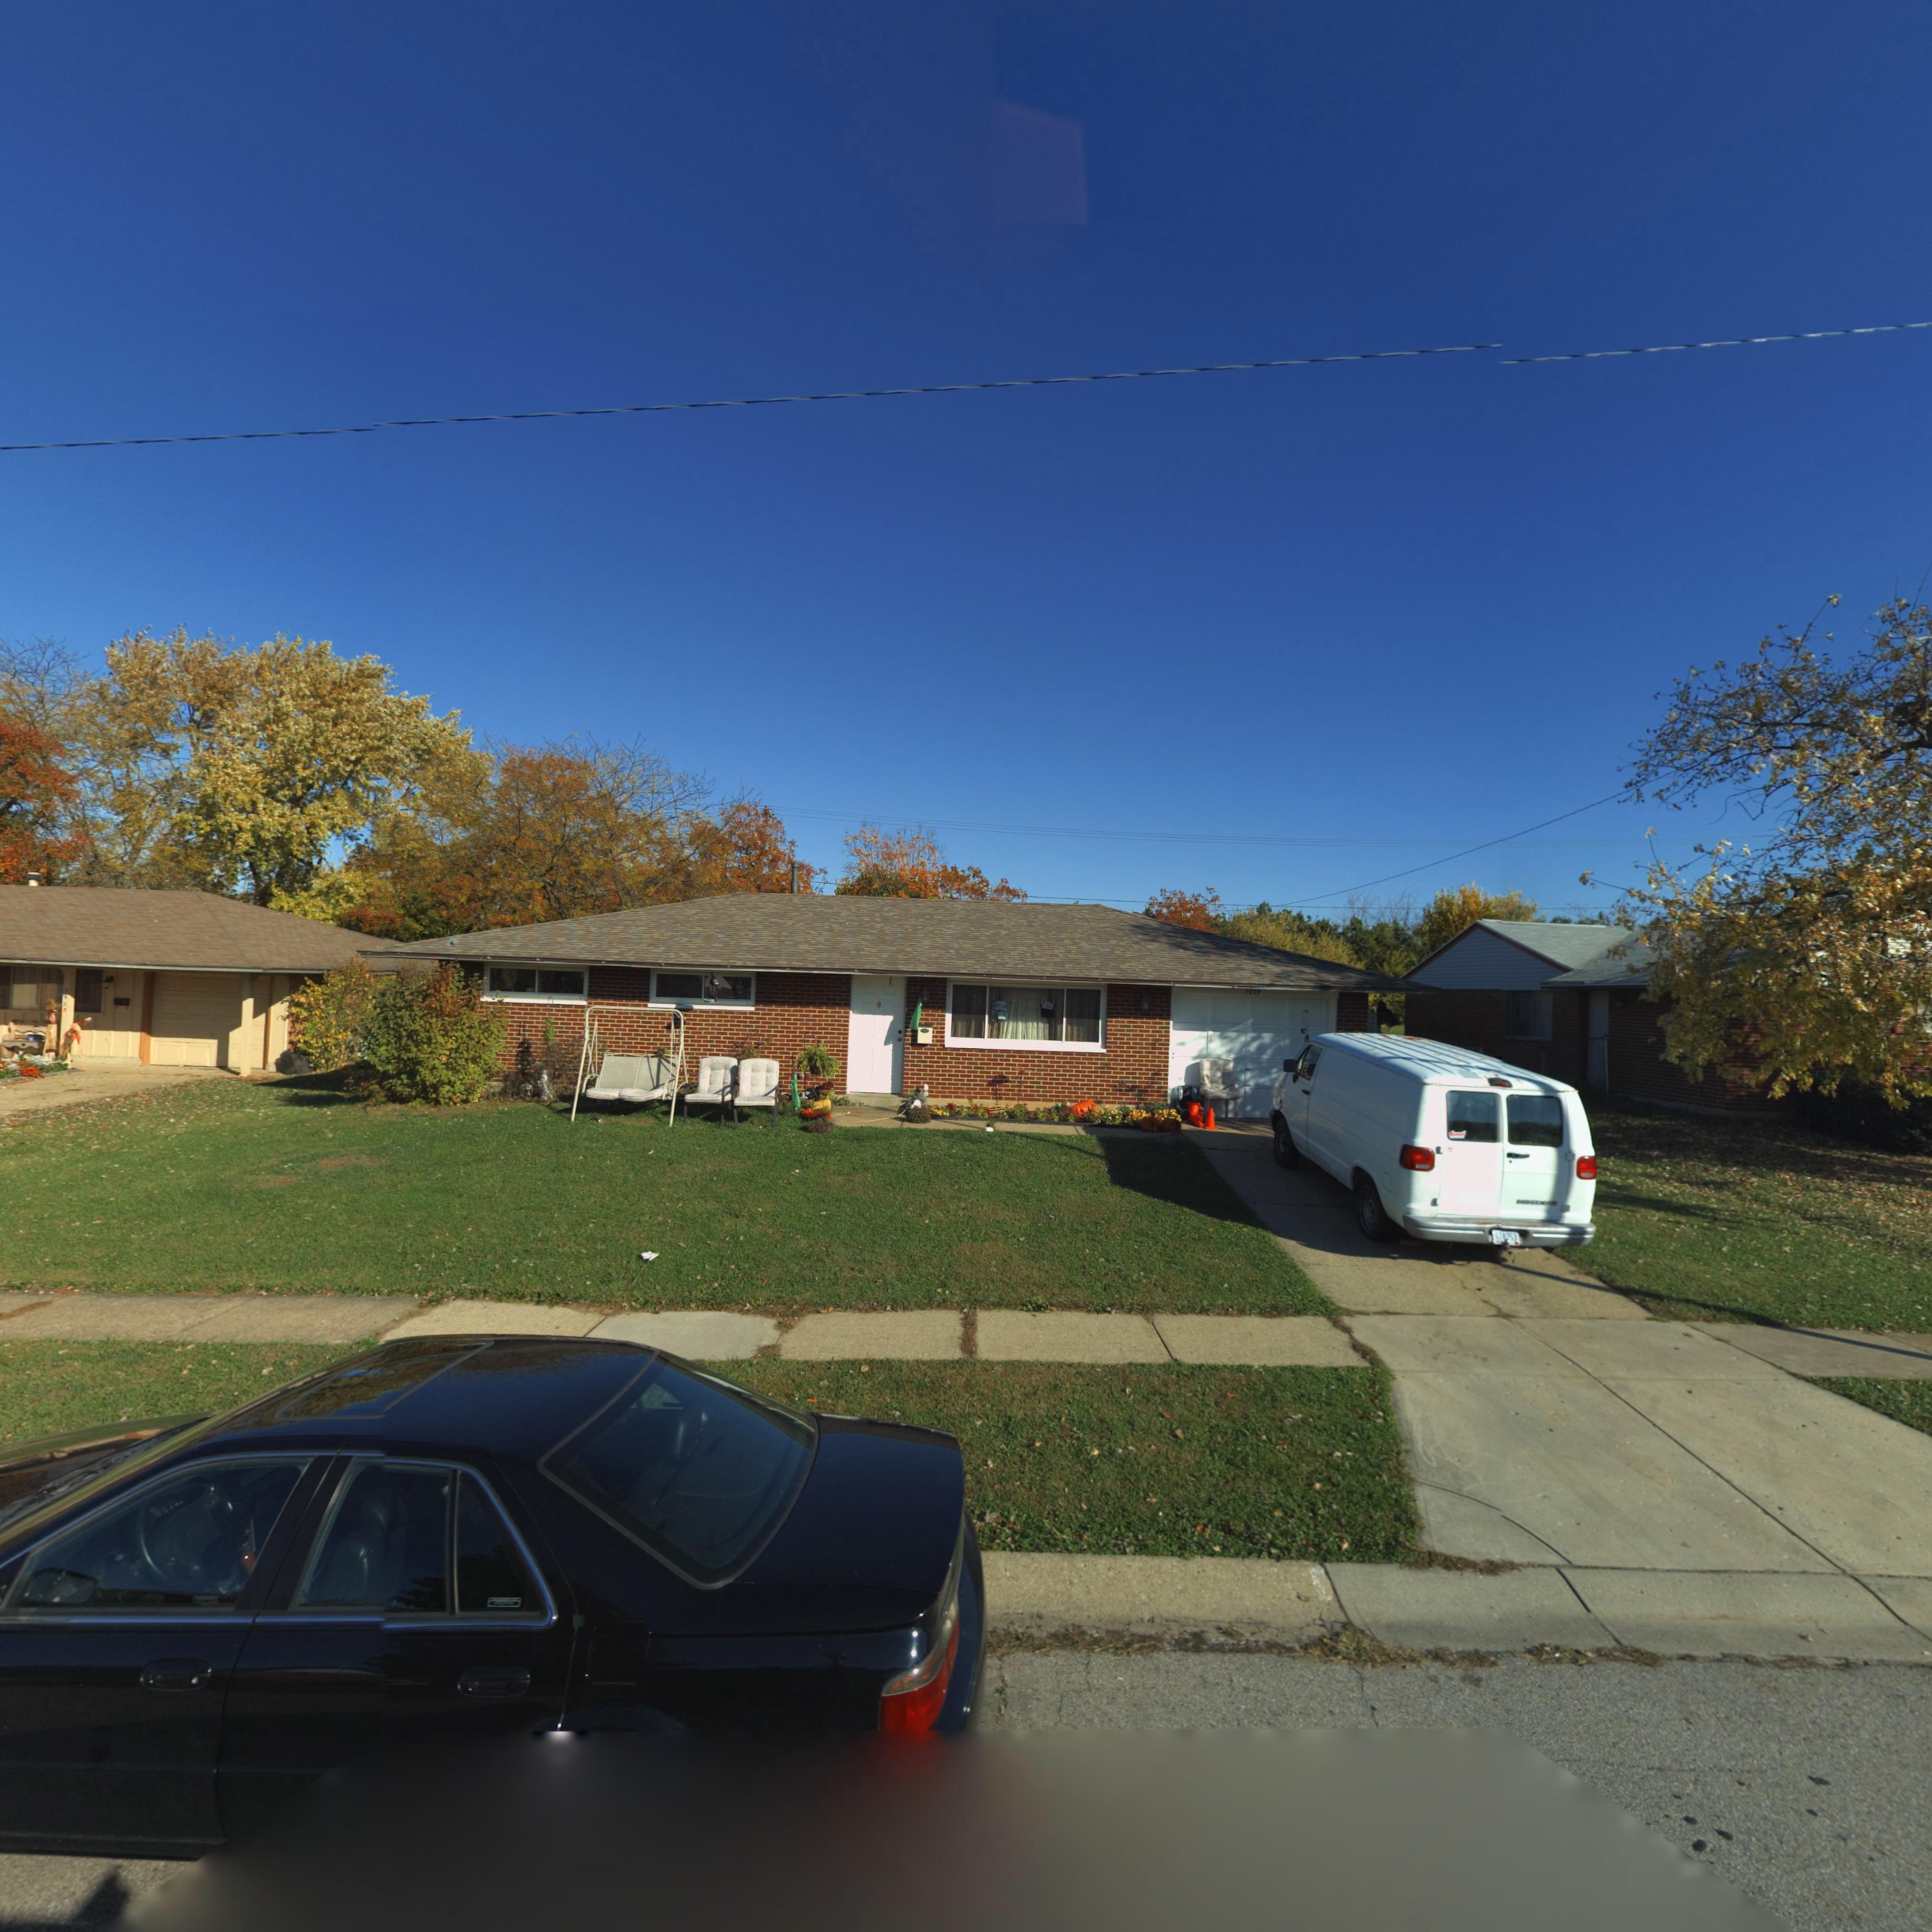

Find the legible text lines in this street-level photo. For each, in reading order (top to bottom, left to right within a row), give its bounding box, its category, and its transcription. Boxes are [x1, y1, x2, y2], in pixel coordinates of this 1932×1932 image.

[1244, 988, 1262, 996] StreetNumber: 7929